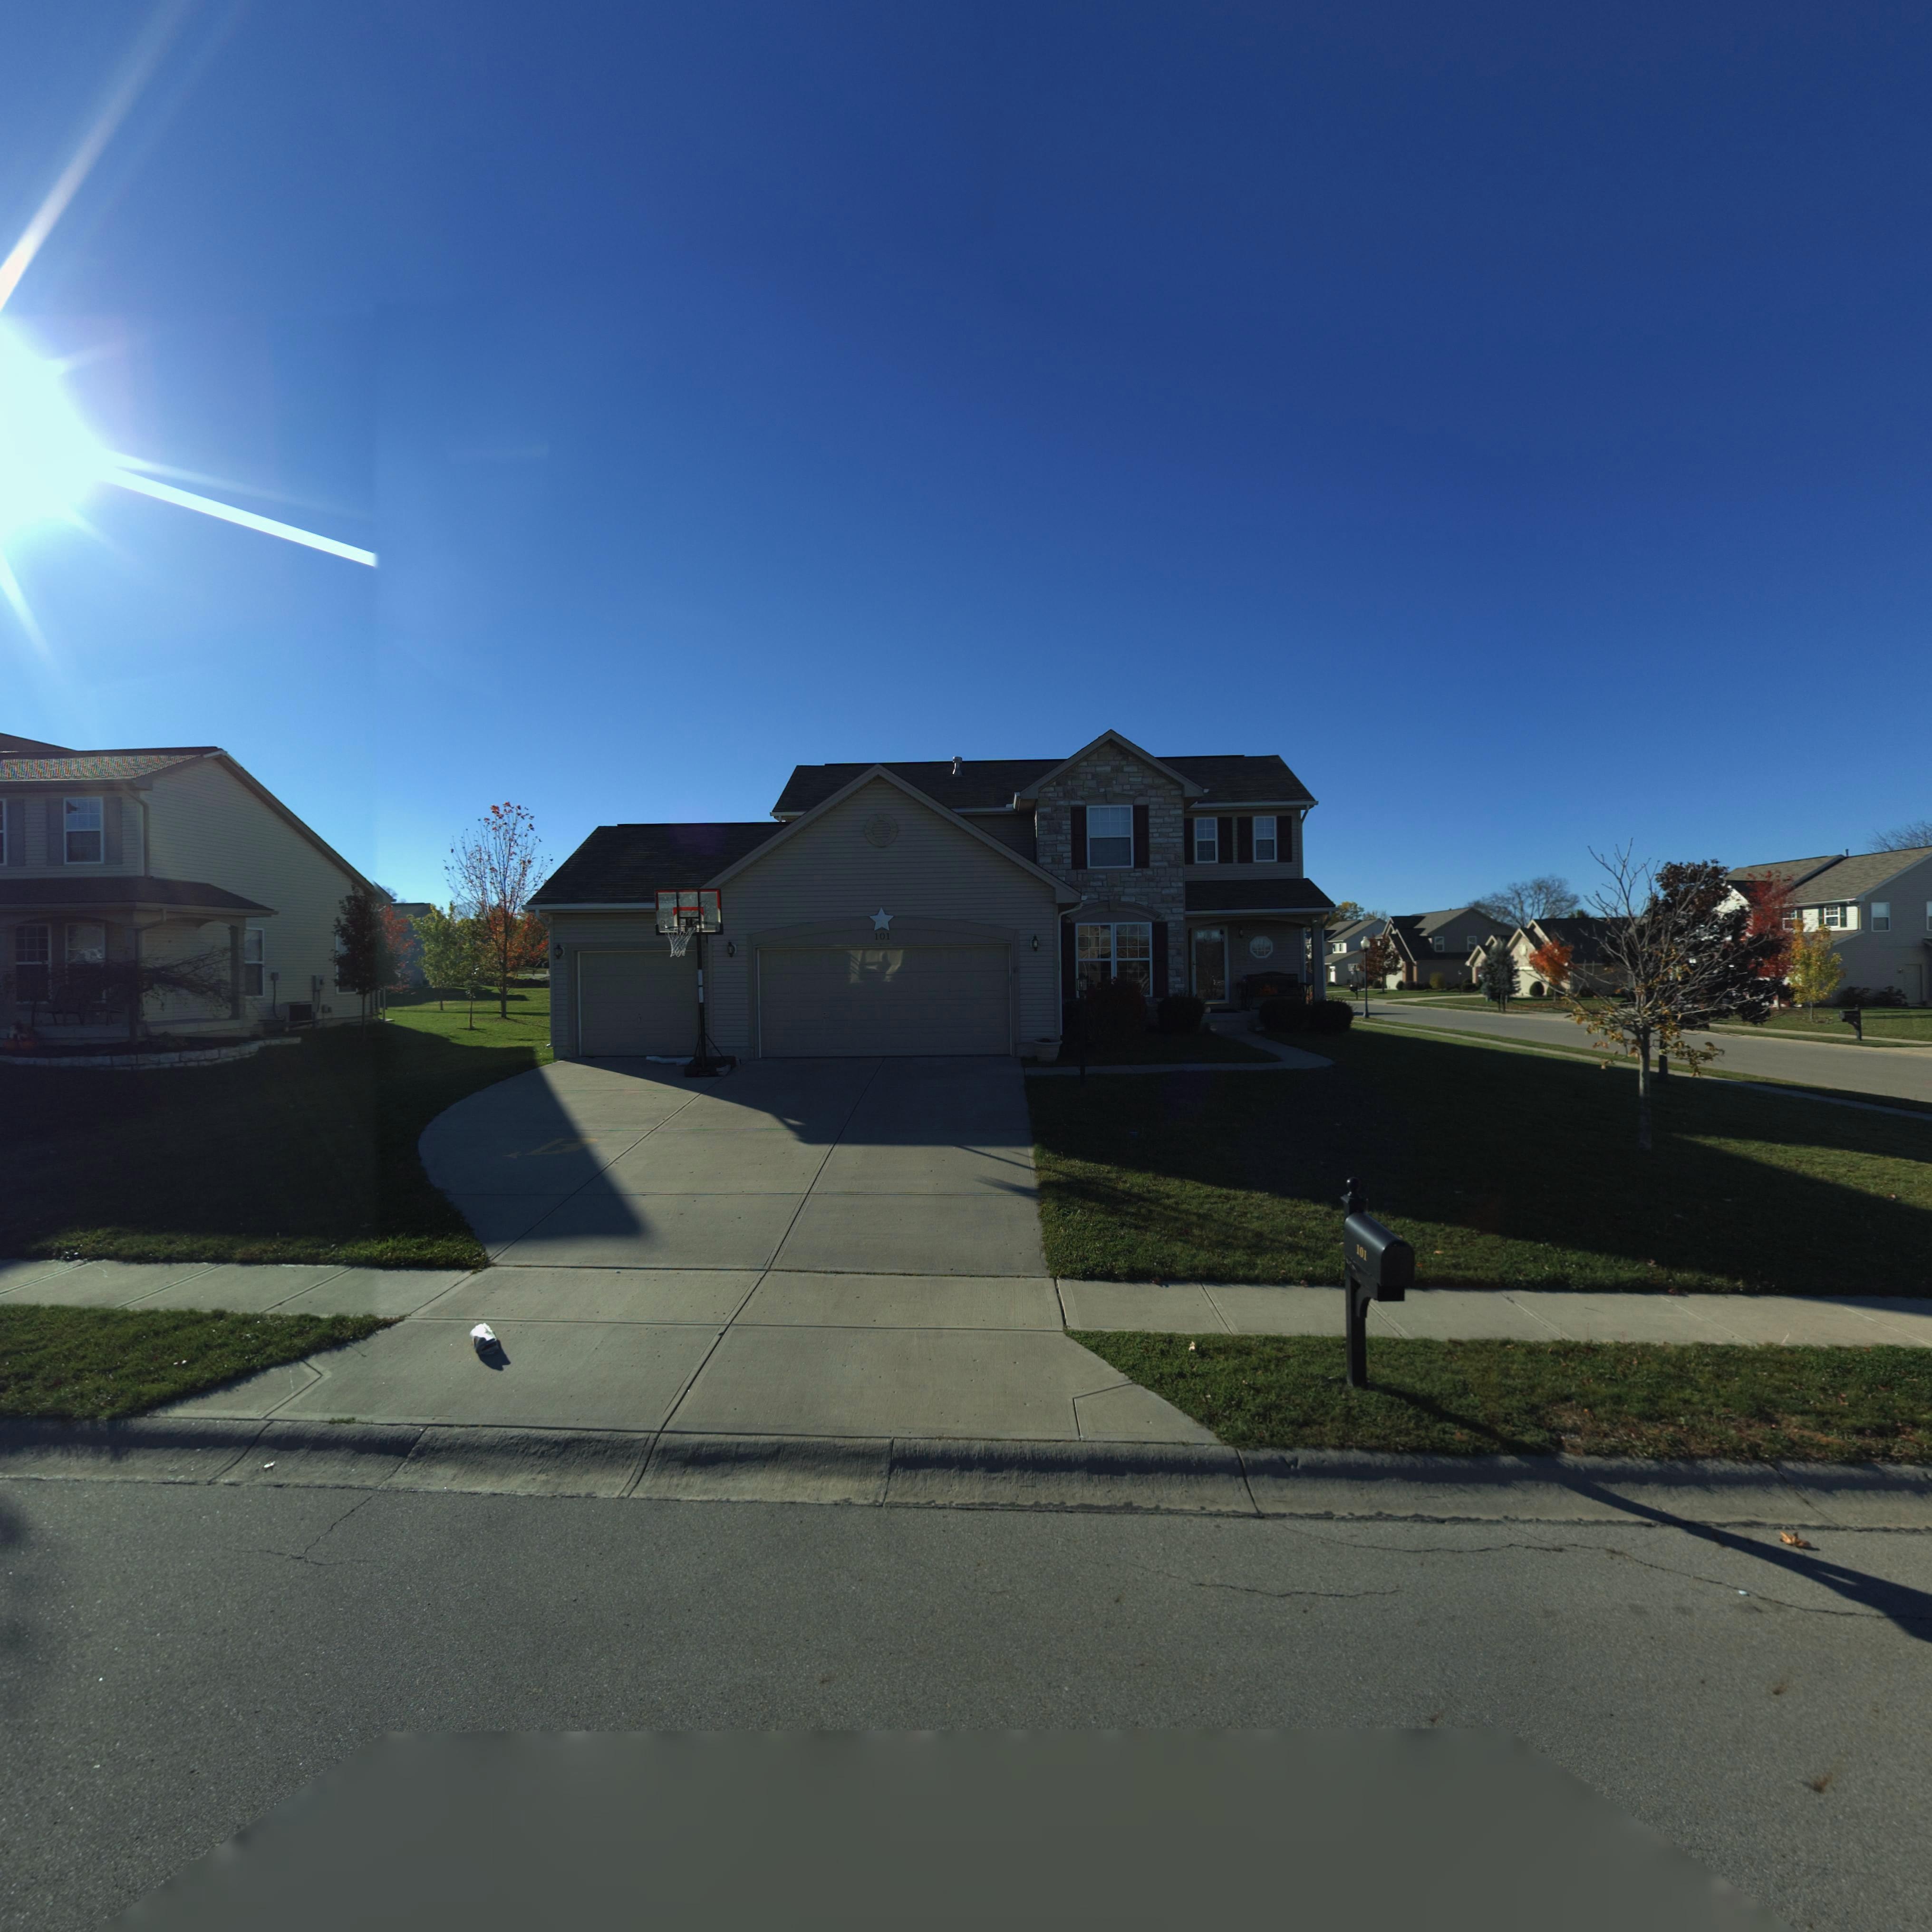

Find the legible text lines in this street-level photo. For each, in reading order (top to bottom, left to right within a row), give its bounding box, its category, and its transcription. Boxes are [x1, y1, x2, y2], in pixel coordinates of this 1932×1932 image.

[874, 932, 891, 941] StreetNumber: 101
[1355, 1242, 1368, 1263] StreetNumber: 101